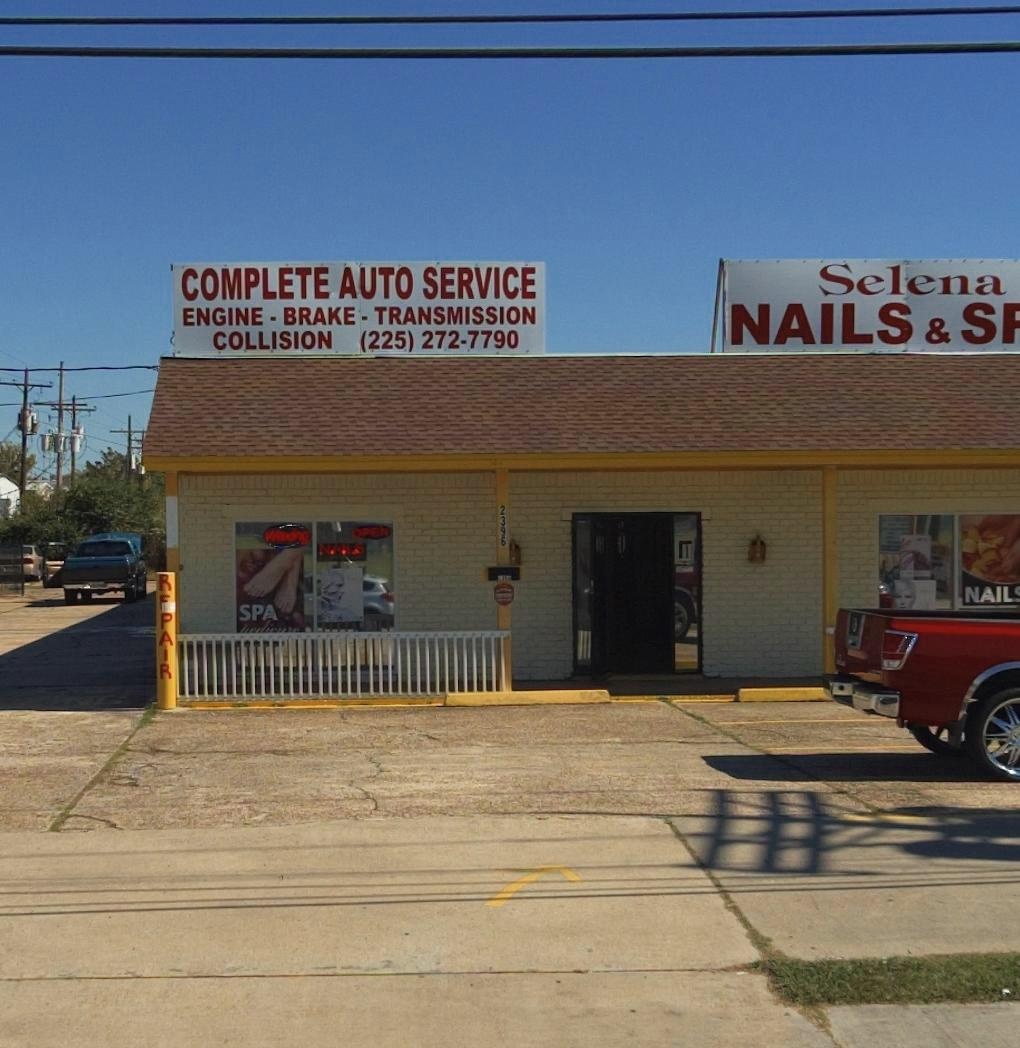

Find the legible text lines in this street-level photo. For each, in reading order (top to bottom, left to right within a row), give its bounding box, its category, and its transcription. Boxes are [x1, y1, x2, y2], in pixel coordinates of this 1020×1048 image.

[180, 265, 540, 302] None: COMPLETE AUTO SERVICE
[818, 262, 1008, 297] BusinessName: Selena
[182, 305, 538, 327] None: ENGINE * BRAKE * TRANSMISSION
[730, 301, 998, 346] BusinessName: NAILS & S
[211, 328, 333, 351] None: COLLISION
[360, 329, 520, 353] None: (225) 272-7790
[265, 528, 311, 548] None: Waxing
[318, 542, 365, 555] None: NAILS
[352, 527, 390, 537] None: OPEN
[500, 504, 507, 548] StreetNumber: 2396
[963, 585, 1016, 604] None: NAIL
[238, 603, 280, 621] None: SPA
[158, 574, 173, 680] None: REPAIR